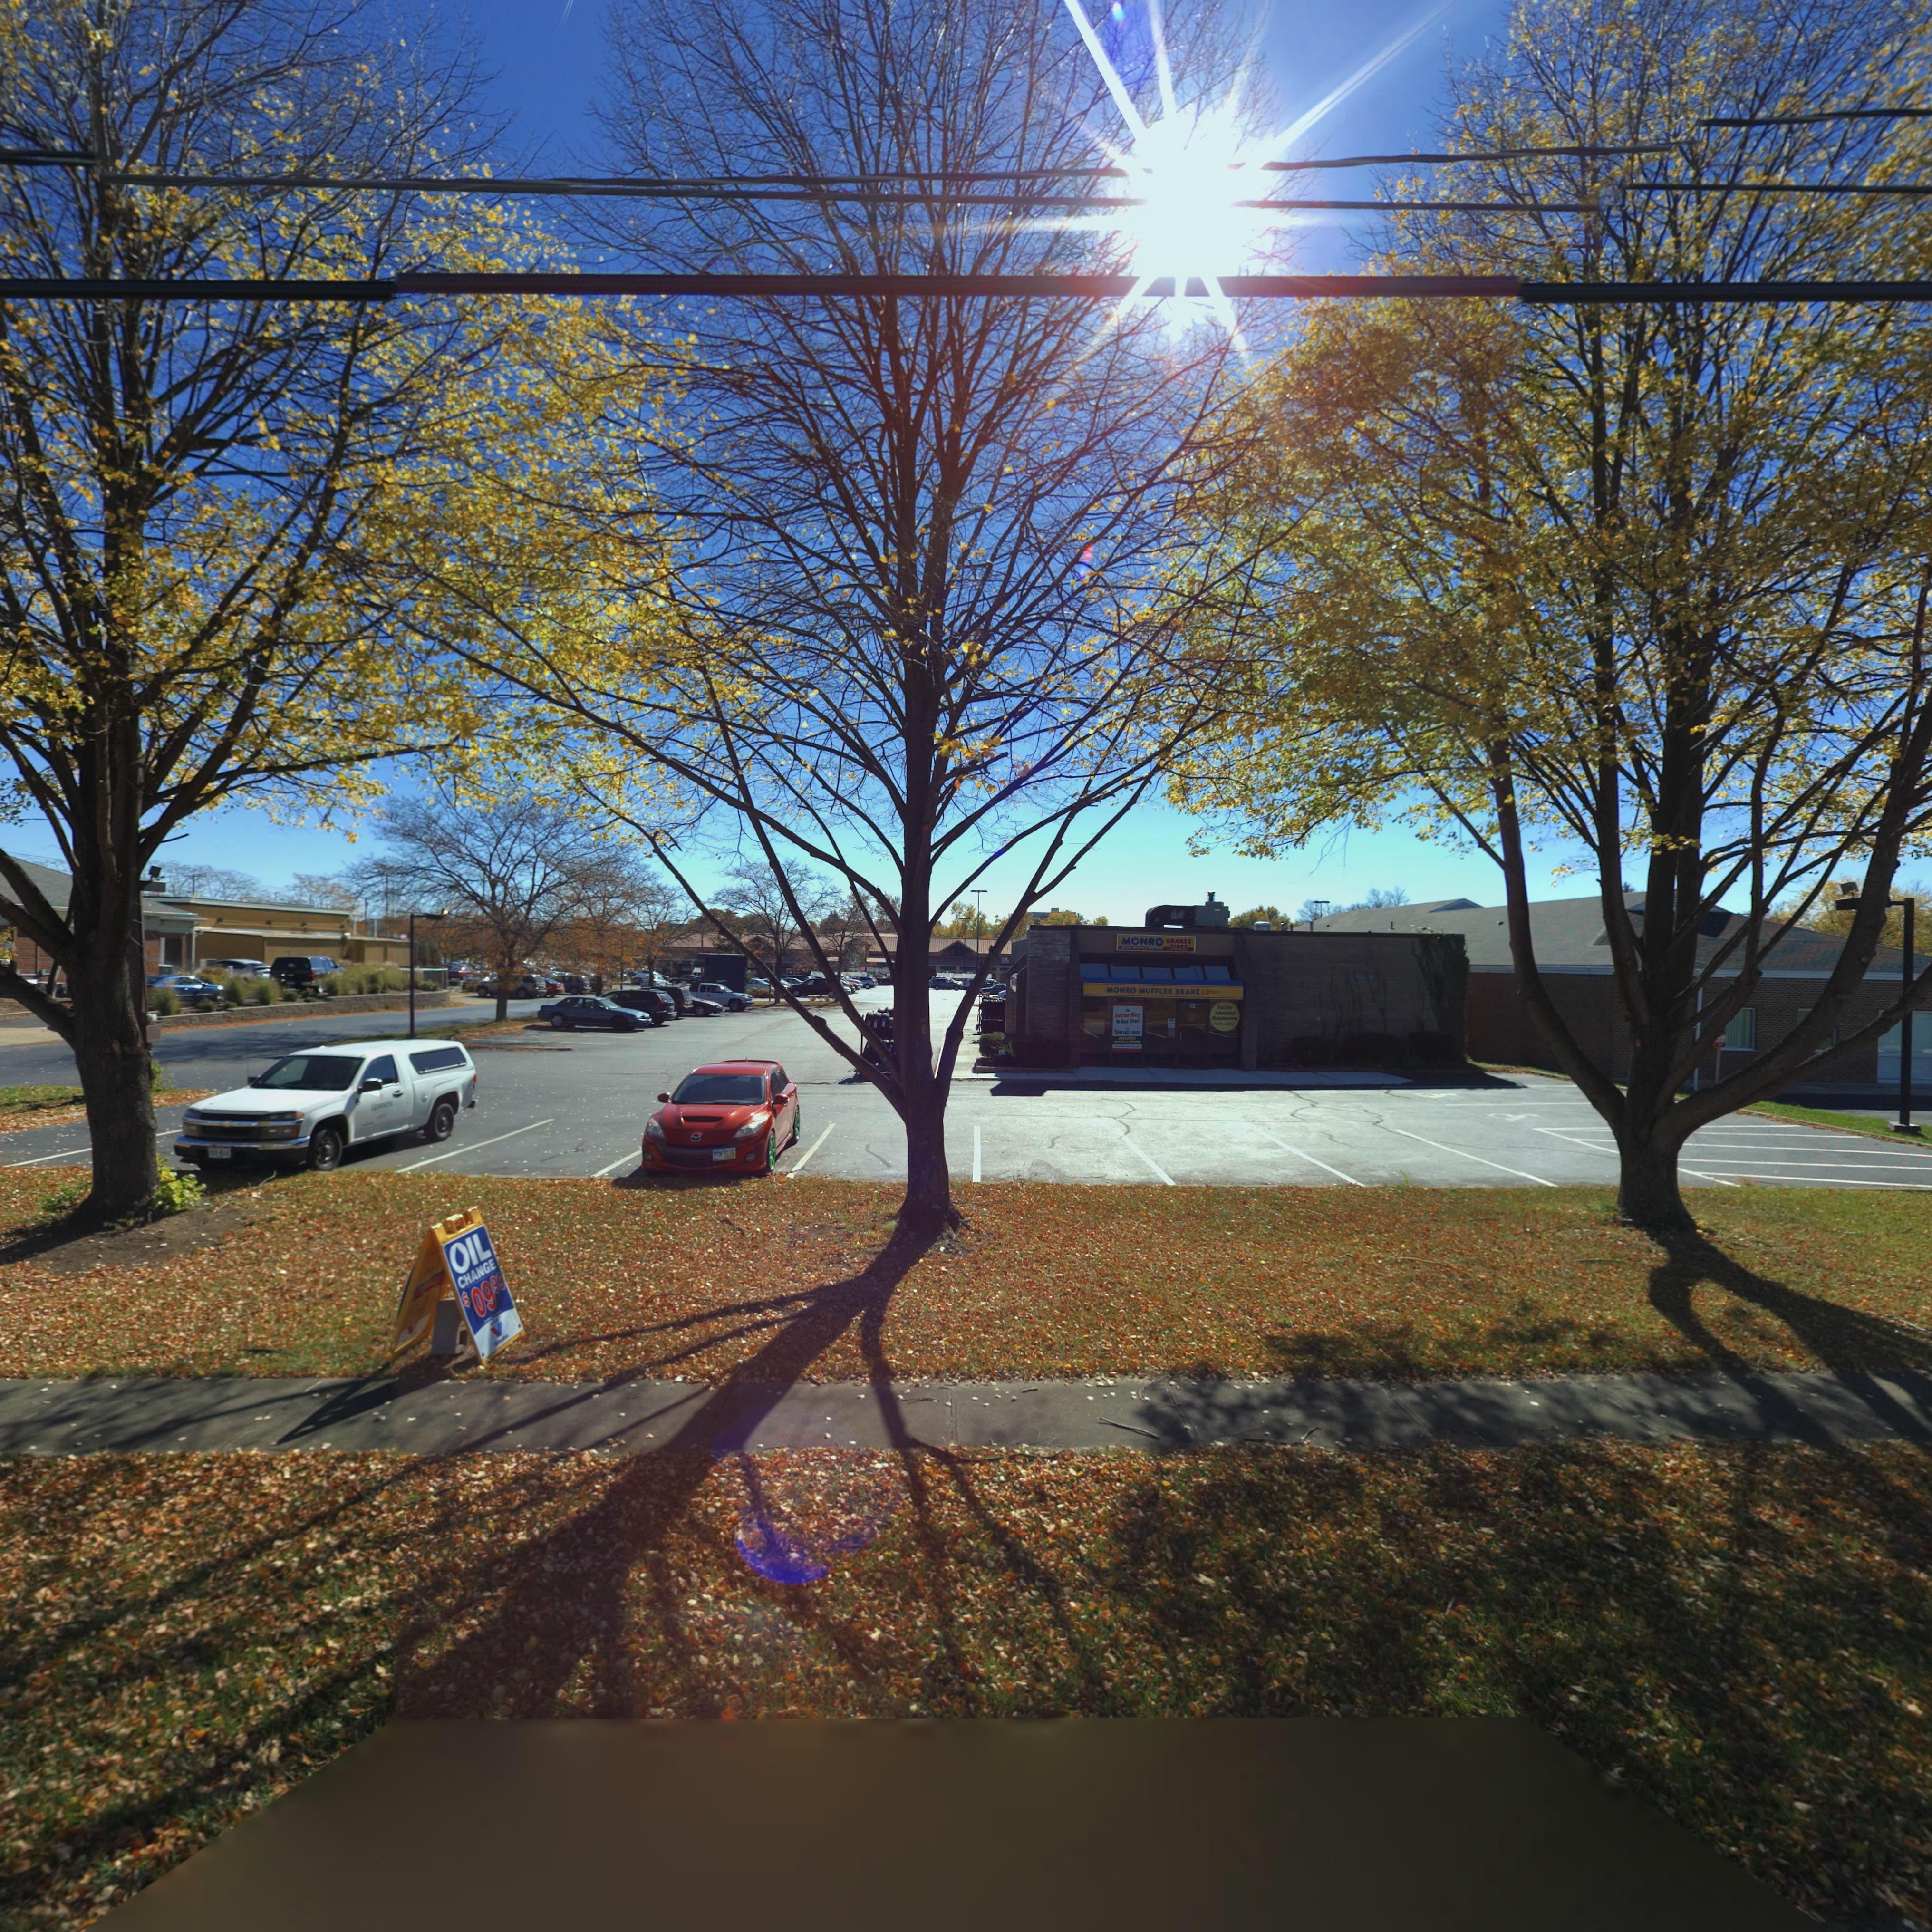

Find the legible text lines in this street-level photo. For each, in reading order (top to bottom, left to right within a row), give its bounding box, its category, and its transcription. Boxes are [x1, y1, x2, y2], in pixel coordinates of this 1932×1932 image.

[1120, 936, 1165, 947] BusinessName: MONRO
[1166, 938, 1192, 945] BusinessName: BRAKES
[1169, 944, 1188, 951] BusinessName: TIRES
[1106, 986, 1200, 995] BusinessName: MONRO MUFFLER BRAKE
[1203, 989, 1220, 995] BusinessName: Service
[1188, 1003, 1197, 1009] StreetNumber: 12
[1216, 1005, 1234, 1011] None: Factory
[1114, 1012, 1142, 1019] None: Better Way
[1115, 1018, 1140, 1025] None: To Buy Tires!
[1211, 1015, 1239, 1021] None: Maintenance
[1214, 1010, 1236, 1015] None: Scheduled
[714, 1150, 735, 1159] None: FDM**515
[448, 1231, 493, 1275] None: OIL
[456, 1256, 498, 1290] None: CHANGE
[469, 1269, 507, 1320] None: 0999
[488, 1319, 503, 1339] None: v